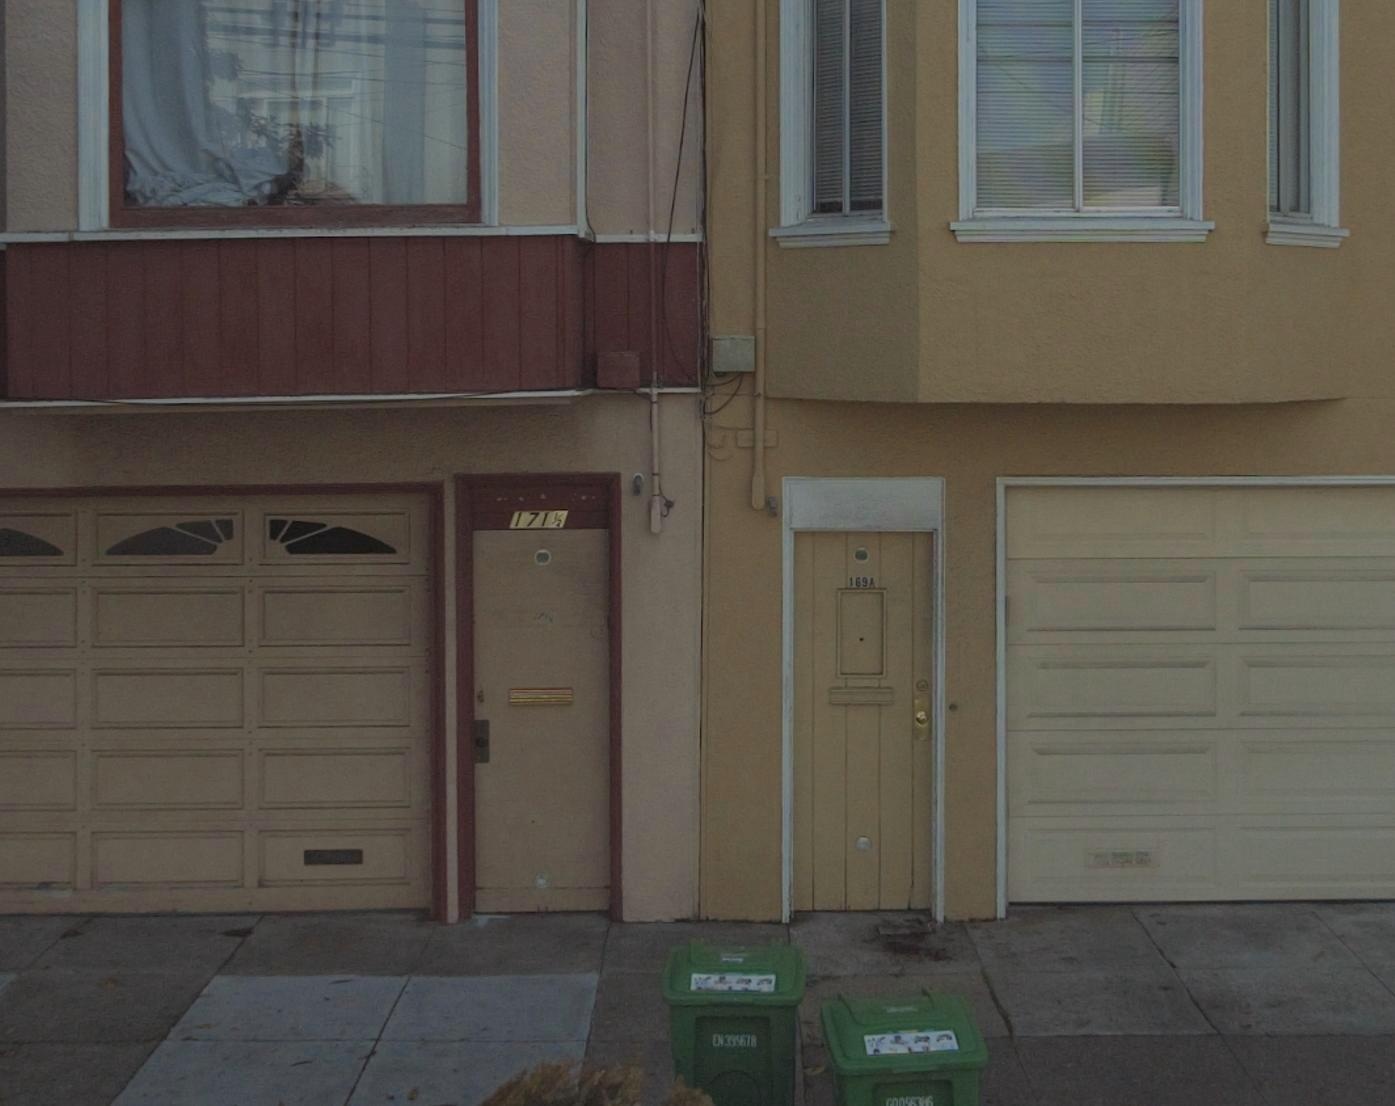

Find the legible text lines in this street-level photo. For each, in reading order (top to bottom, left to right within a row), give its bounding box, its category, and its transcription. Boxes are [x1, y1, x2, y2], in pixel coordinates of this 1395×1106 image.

[513, 510, 564, 529] StreetNumber: 171 1/2
[847, 575, 878, 589] StreetNumber: 169A